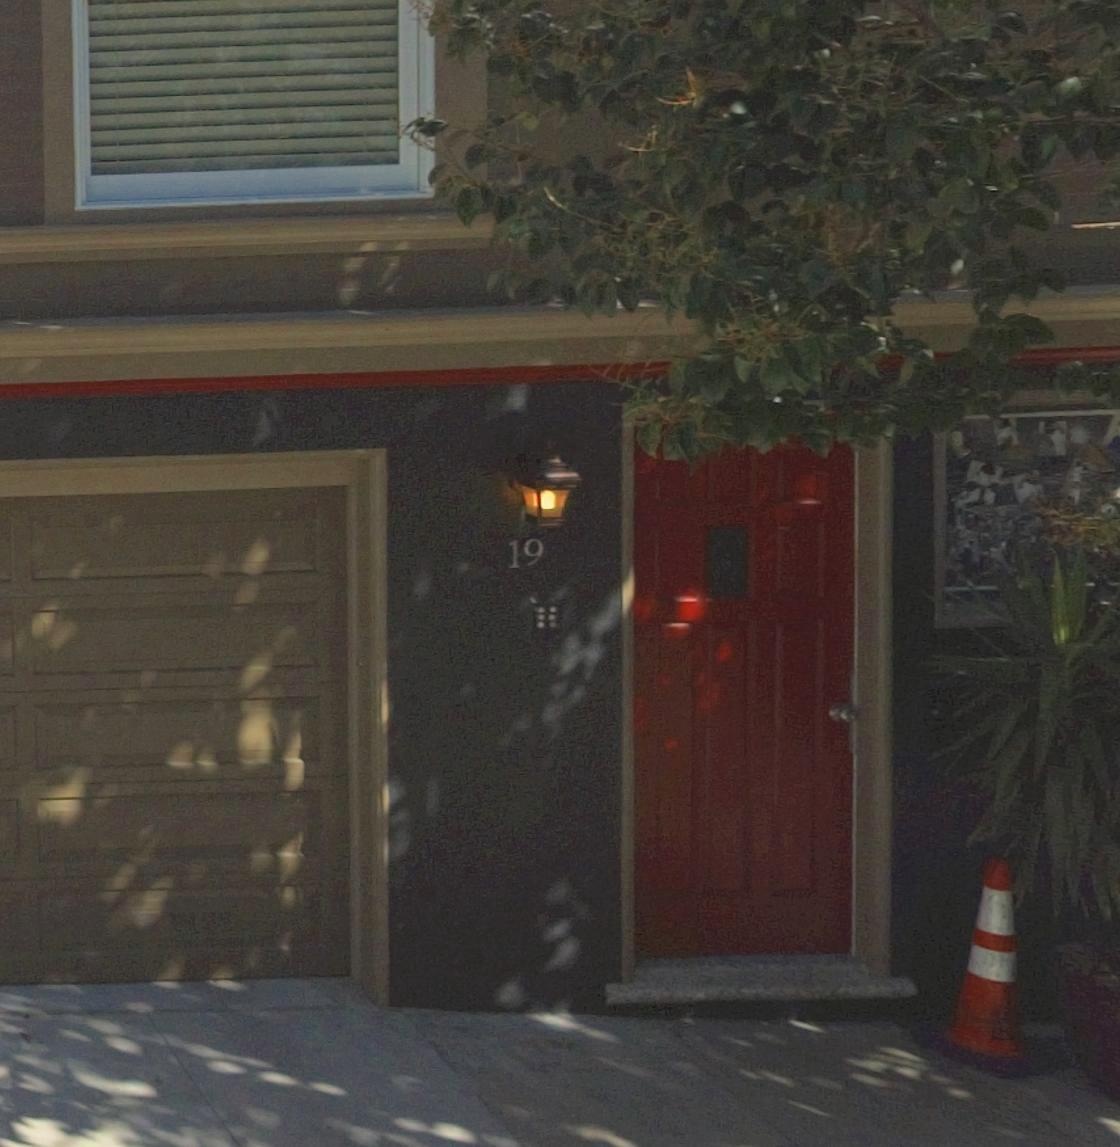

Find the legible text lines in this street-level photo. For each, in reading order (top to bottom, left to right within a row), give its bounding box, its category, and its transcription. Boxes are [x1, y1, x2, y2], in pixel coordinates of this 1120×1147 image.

[504, 536, 547, 572] StreetNumber: 19